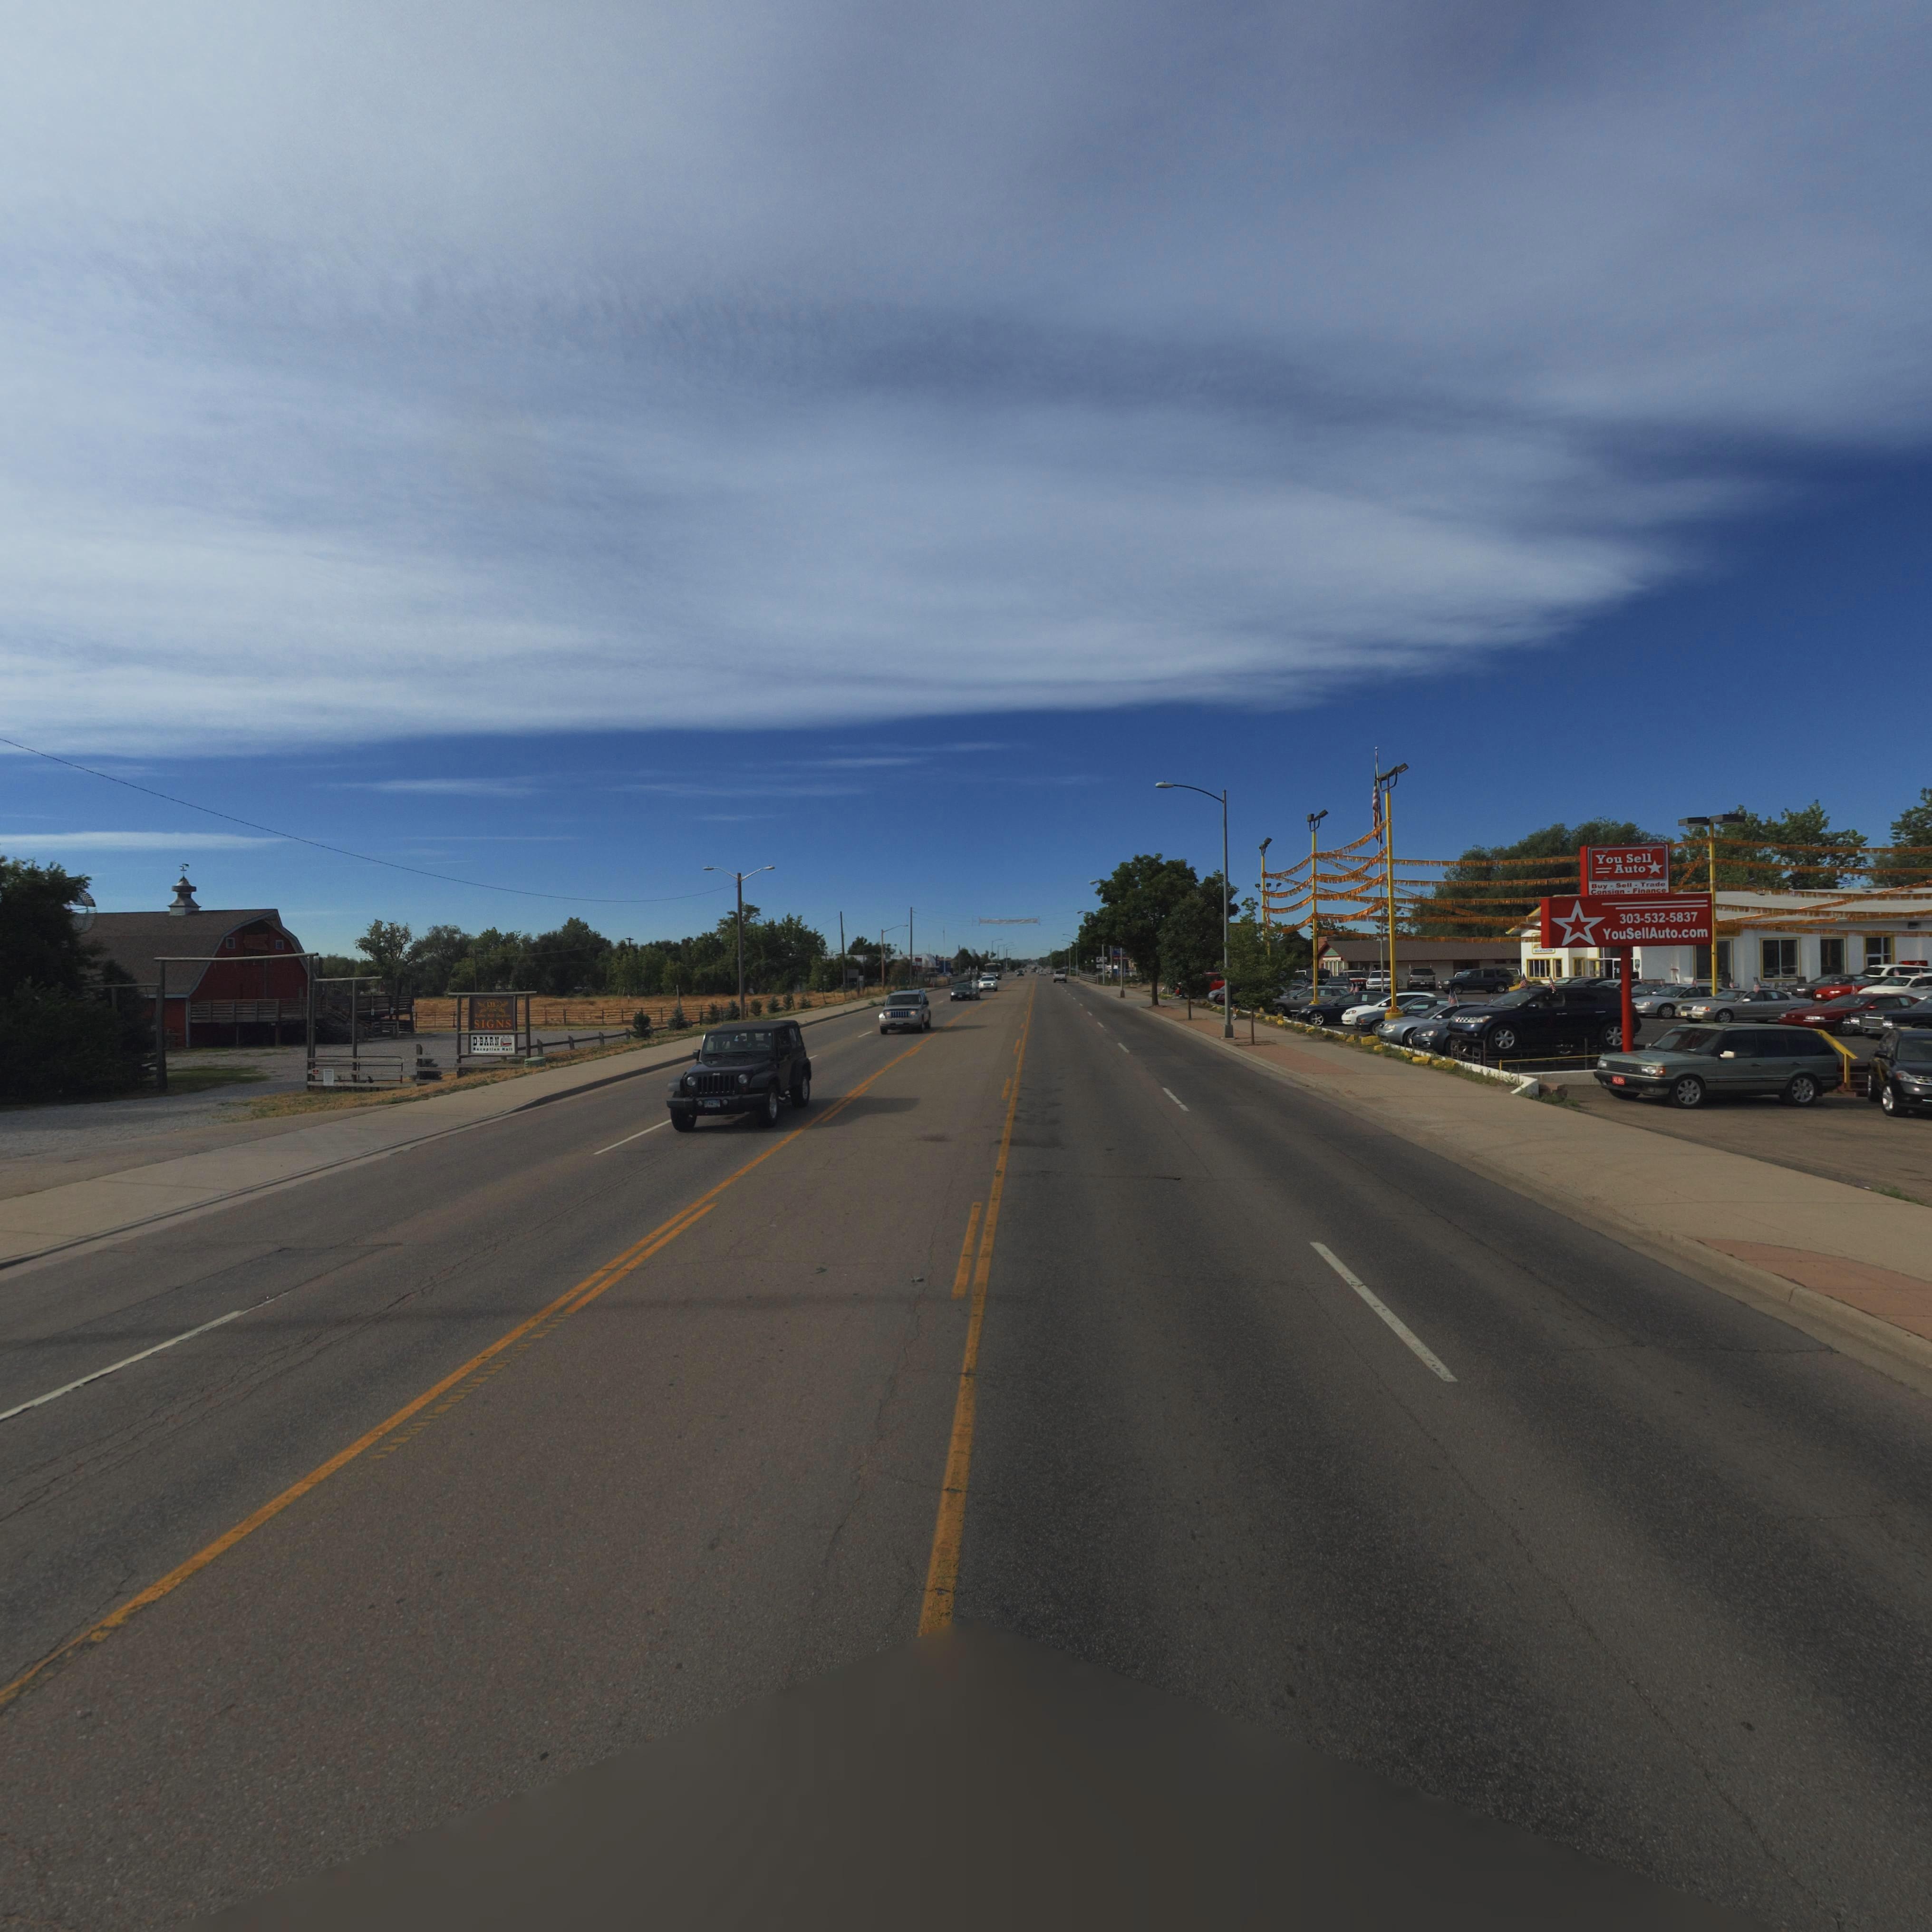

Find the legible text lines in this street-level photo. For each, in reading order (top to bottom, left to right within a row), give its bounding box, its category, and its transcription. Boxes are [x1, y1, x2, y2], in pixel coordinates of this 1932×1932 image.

[1595, 853, 1652, 864] BusinessName: You Sell
[1613, 864, 1646, 874] BusinessName: Auto
[473, 1036, 499, 1046] BusinessName: D-BARN
[473, 1047, 512, 1052] BusinessName: ****ption **ll